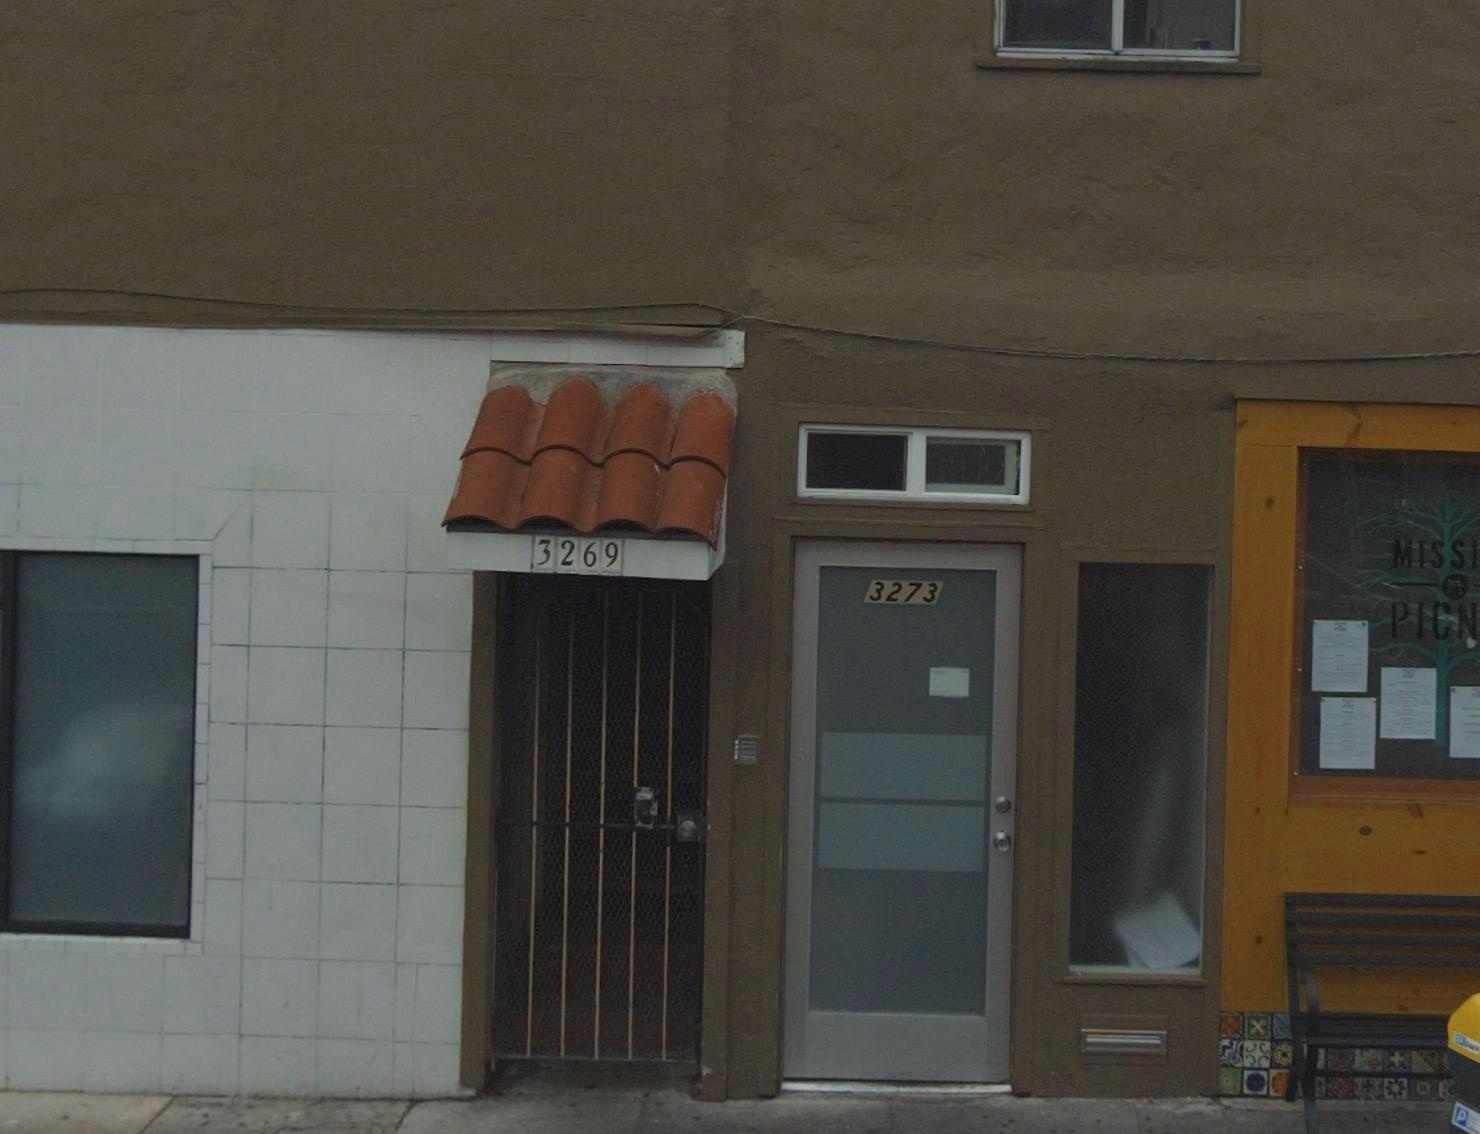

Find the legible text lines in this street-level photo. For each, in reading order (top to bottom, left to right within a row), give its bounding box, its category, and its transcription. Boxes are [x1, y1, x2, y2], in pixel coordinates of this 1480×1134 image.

[533, 535, 622, 569] StreetNumber: 3269
[1390, 536, 1478, 572] BusinessName: MISSI
[862, 579, 943, 604] StreetNumber: 3273
[1389, 599, 1478, 645] BusinessName: PICN
[1453, 1107, 1468, 1125] None: P